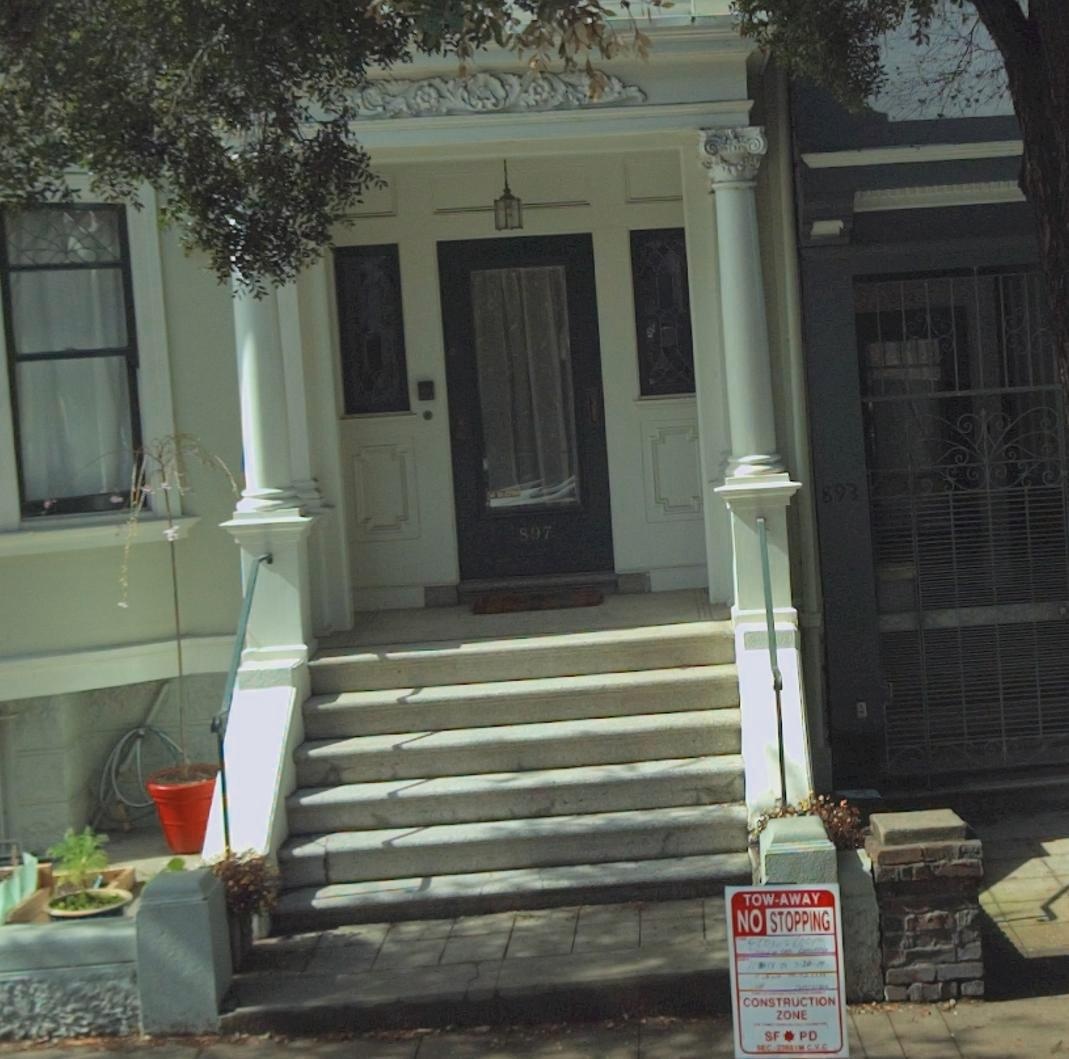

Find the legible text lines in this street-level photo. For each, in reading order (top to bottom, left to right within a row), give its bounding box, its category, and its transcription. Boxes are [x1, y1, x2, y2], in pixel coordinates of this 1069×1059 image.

[818, 480, 862, 506] StreetNumber: 893
[516, 523, 556, 545] StreetNumber: 897
[739, 889, 823, 909] None: TOW-AWAY
[734, 907, 833, 936] None: NO STOPPING
[741, 993, 840, 1011] None: CONSTRUCTION
[774, 1007, 811, 1023] None: ZONE
[762, 1027, 820, 1045] None: SF * PD